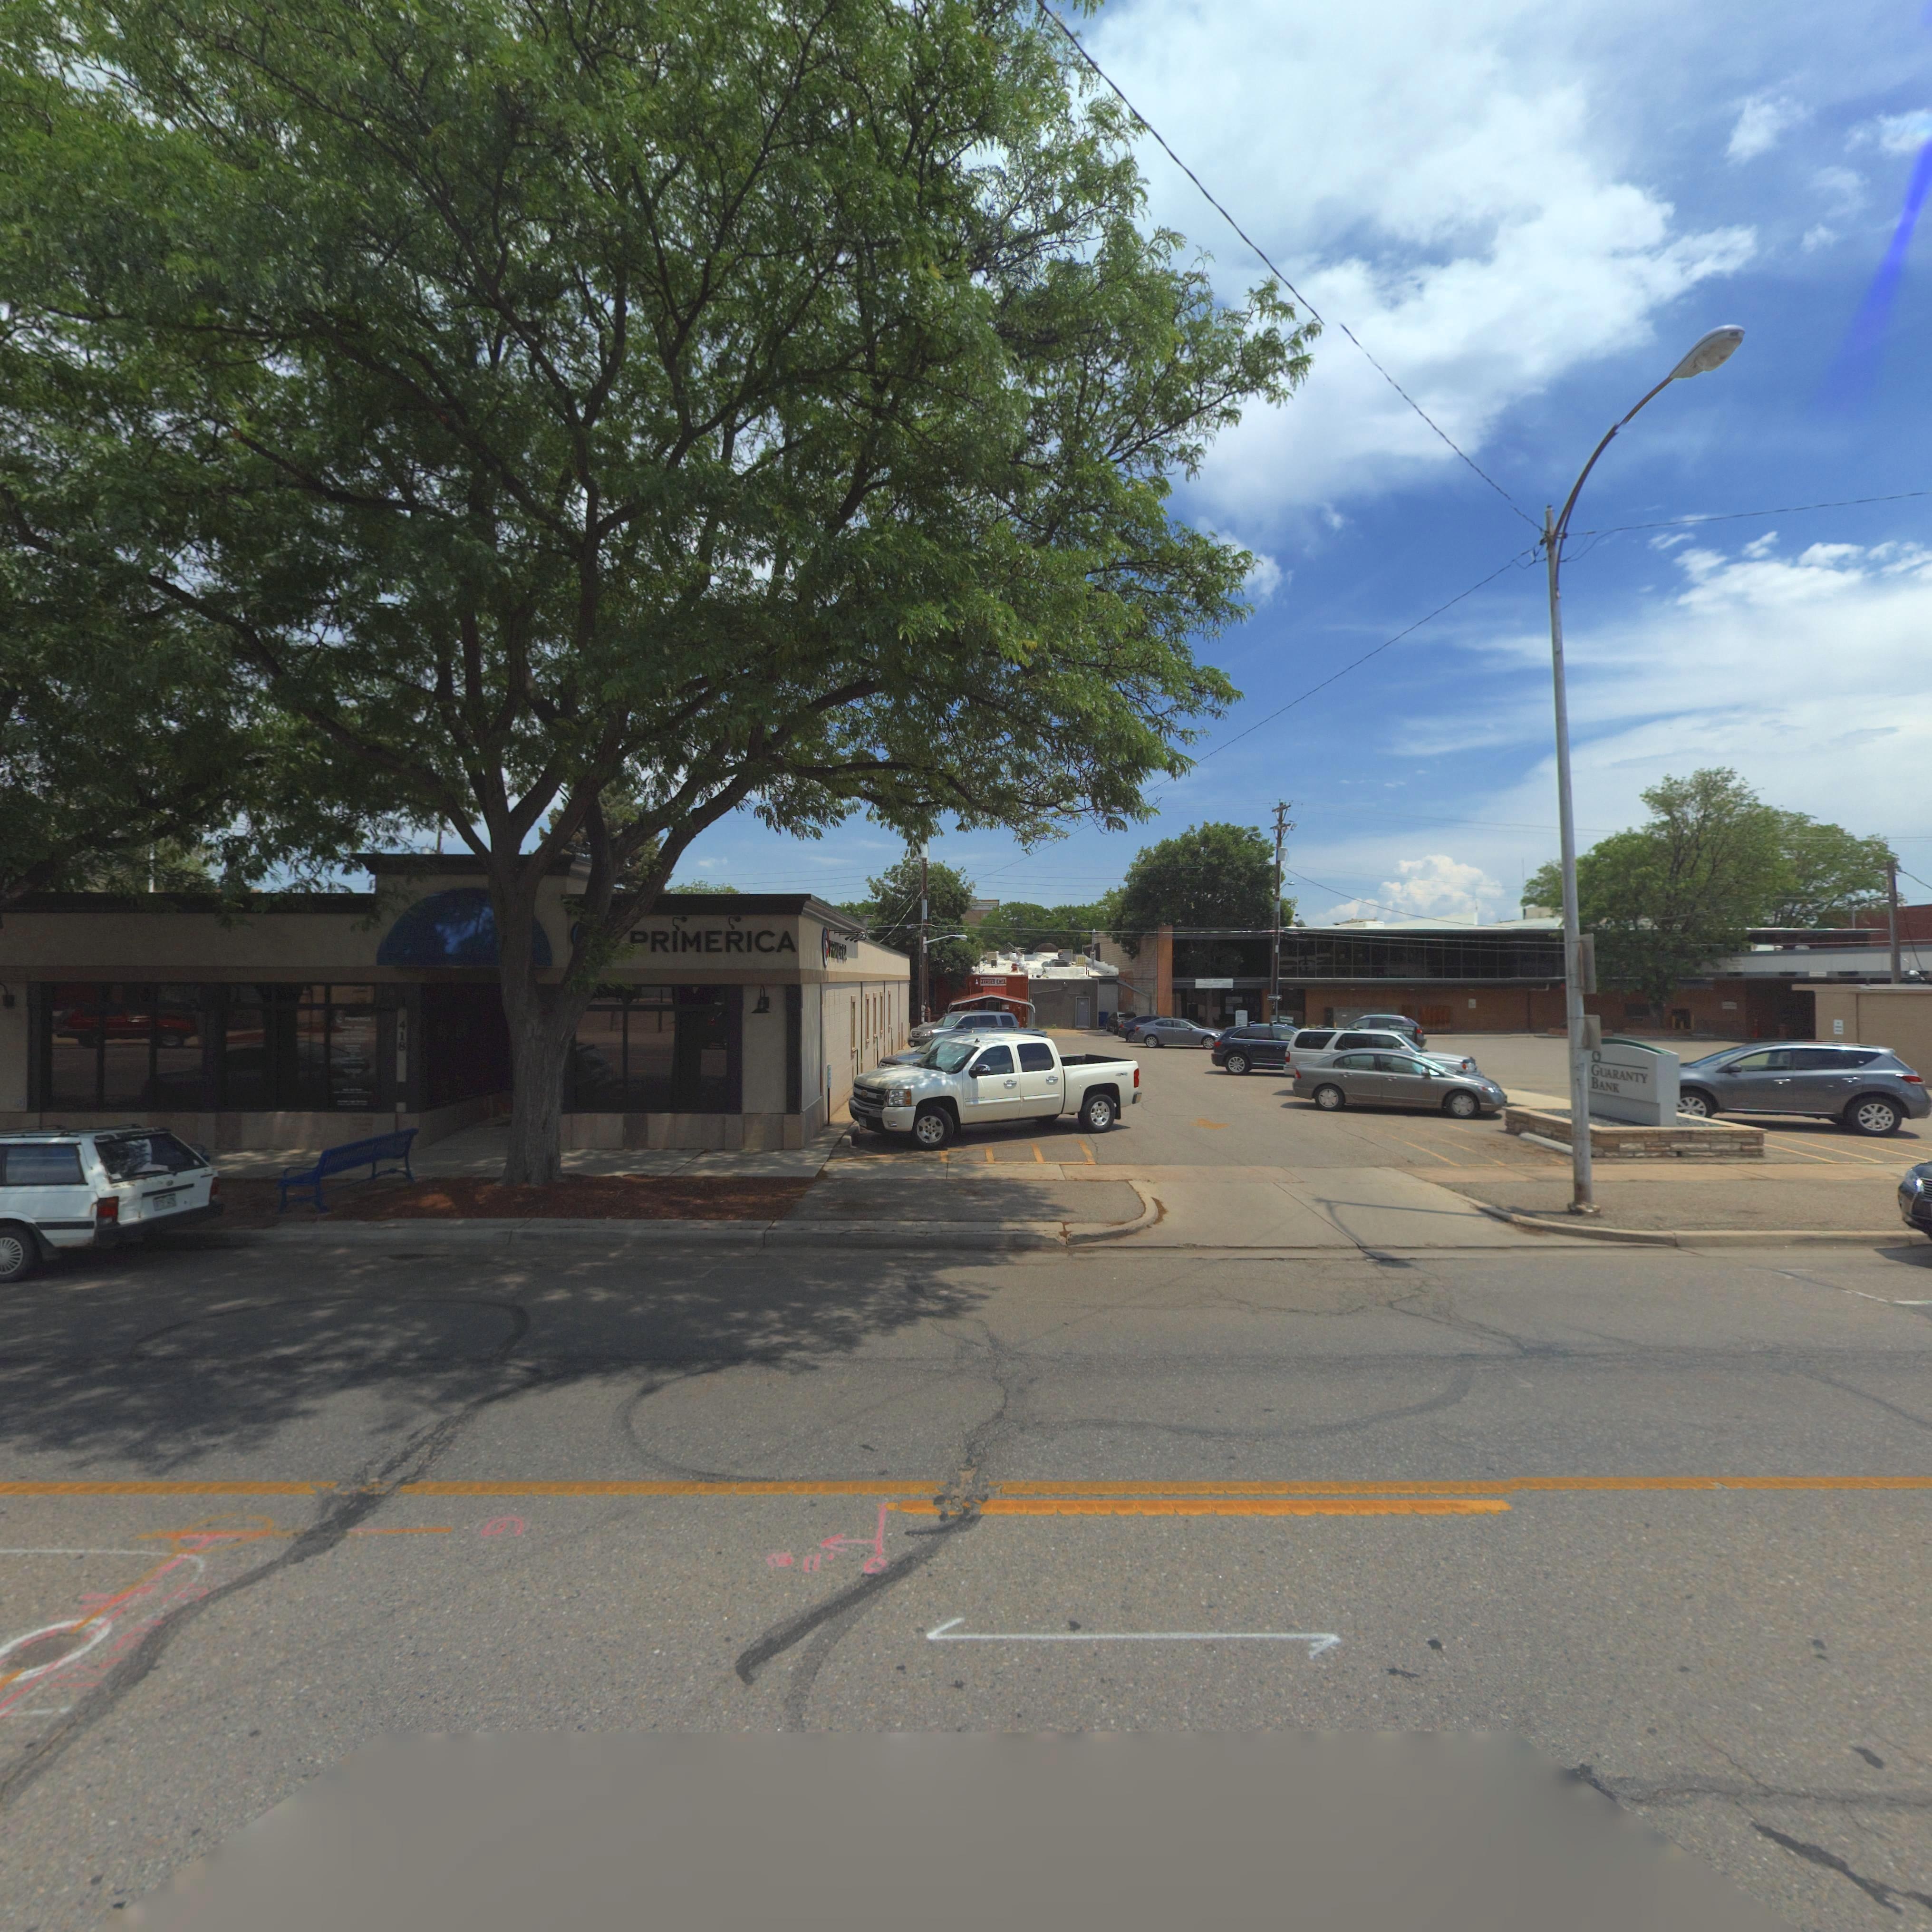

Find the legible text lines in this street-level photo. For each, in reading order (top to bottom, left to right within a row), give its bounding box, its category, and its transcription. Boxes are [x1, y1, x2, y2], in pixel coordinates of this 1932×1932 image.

[628, 930, 797, 953] BusinessName: PRIMERICA
[980, 979, 1006, 984] BusinessName: JAN*E* CA**
[398, 1021, 405, 1051] StreetNumber: 418
[1591, 1063, 1648, 1083] BusinessName: GUARANTY
[1591, 1076, 1620, 1093] BusinessName: BANK